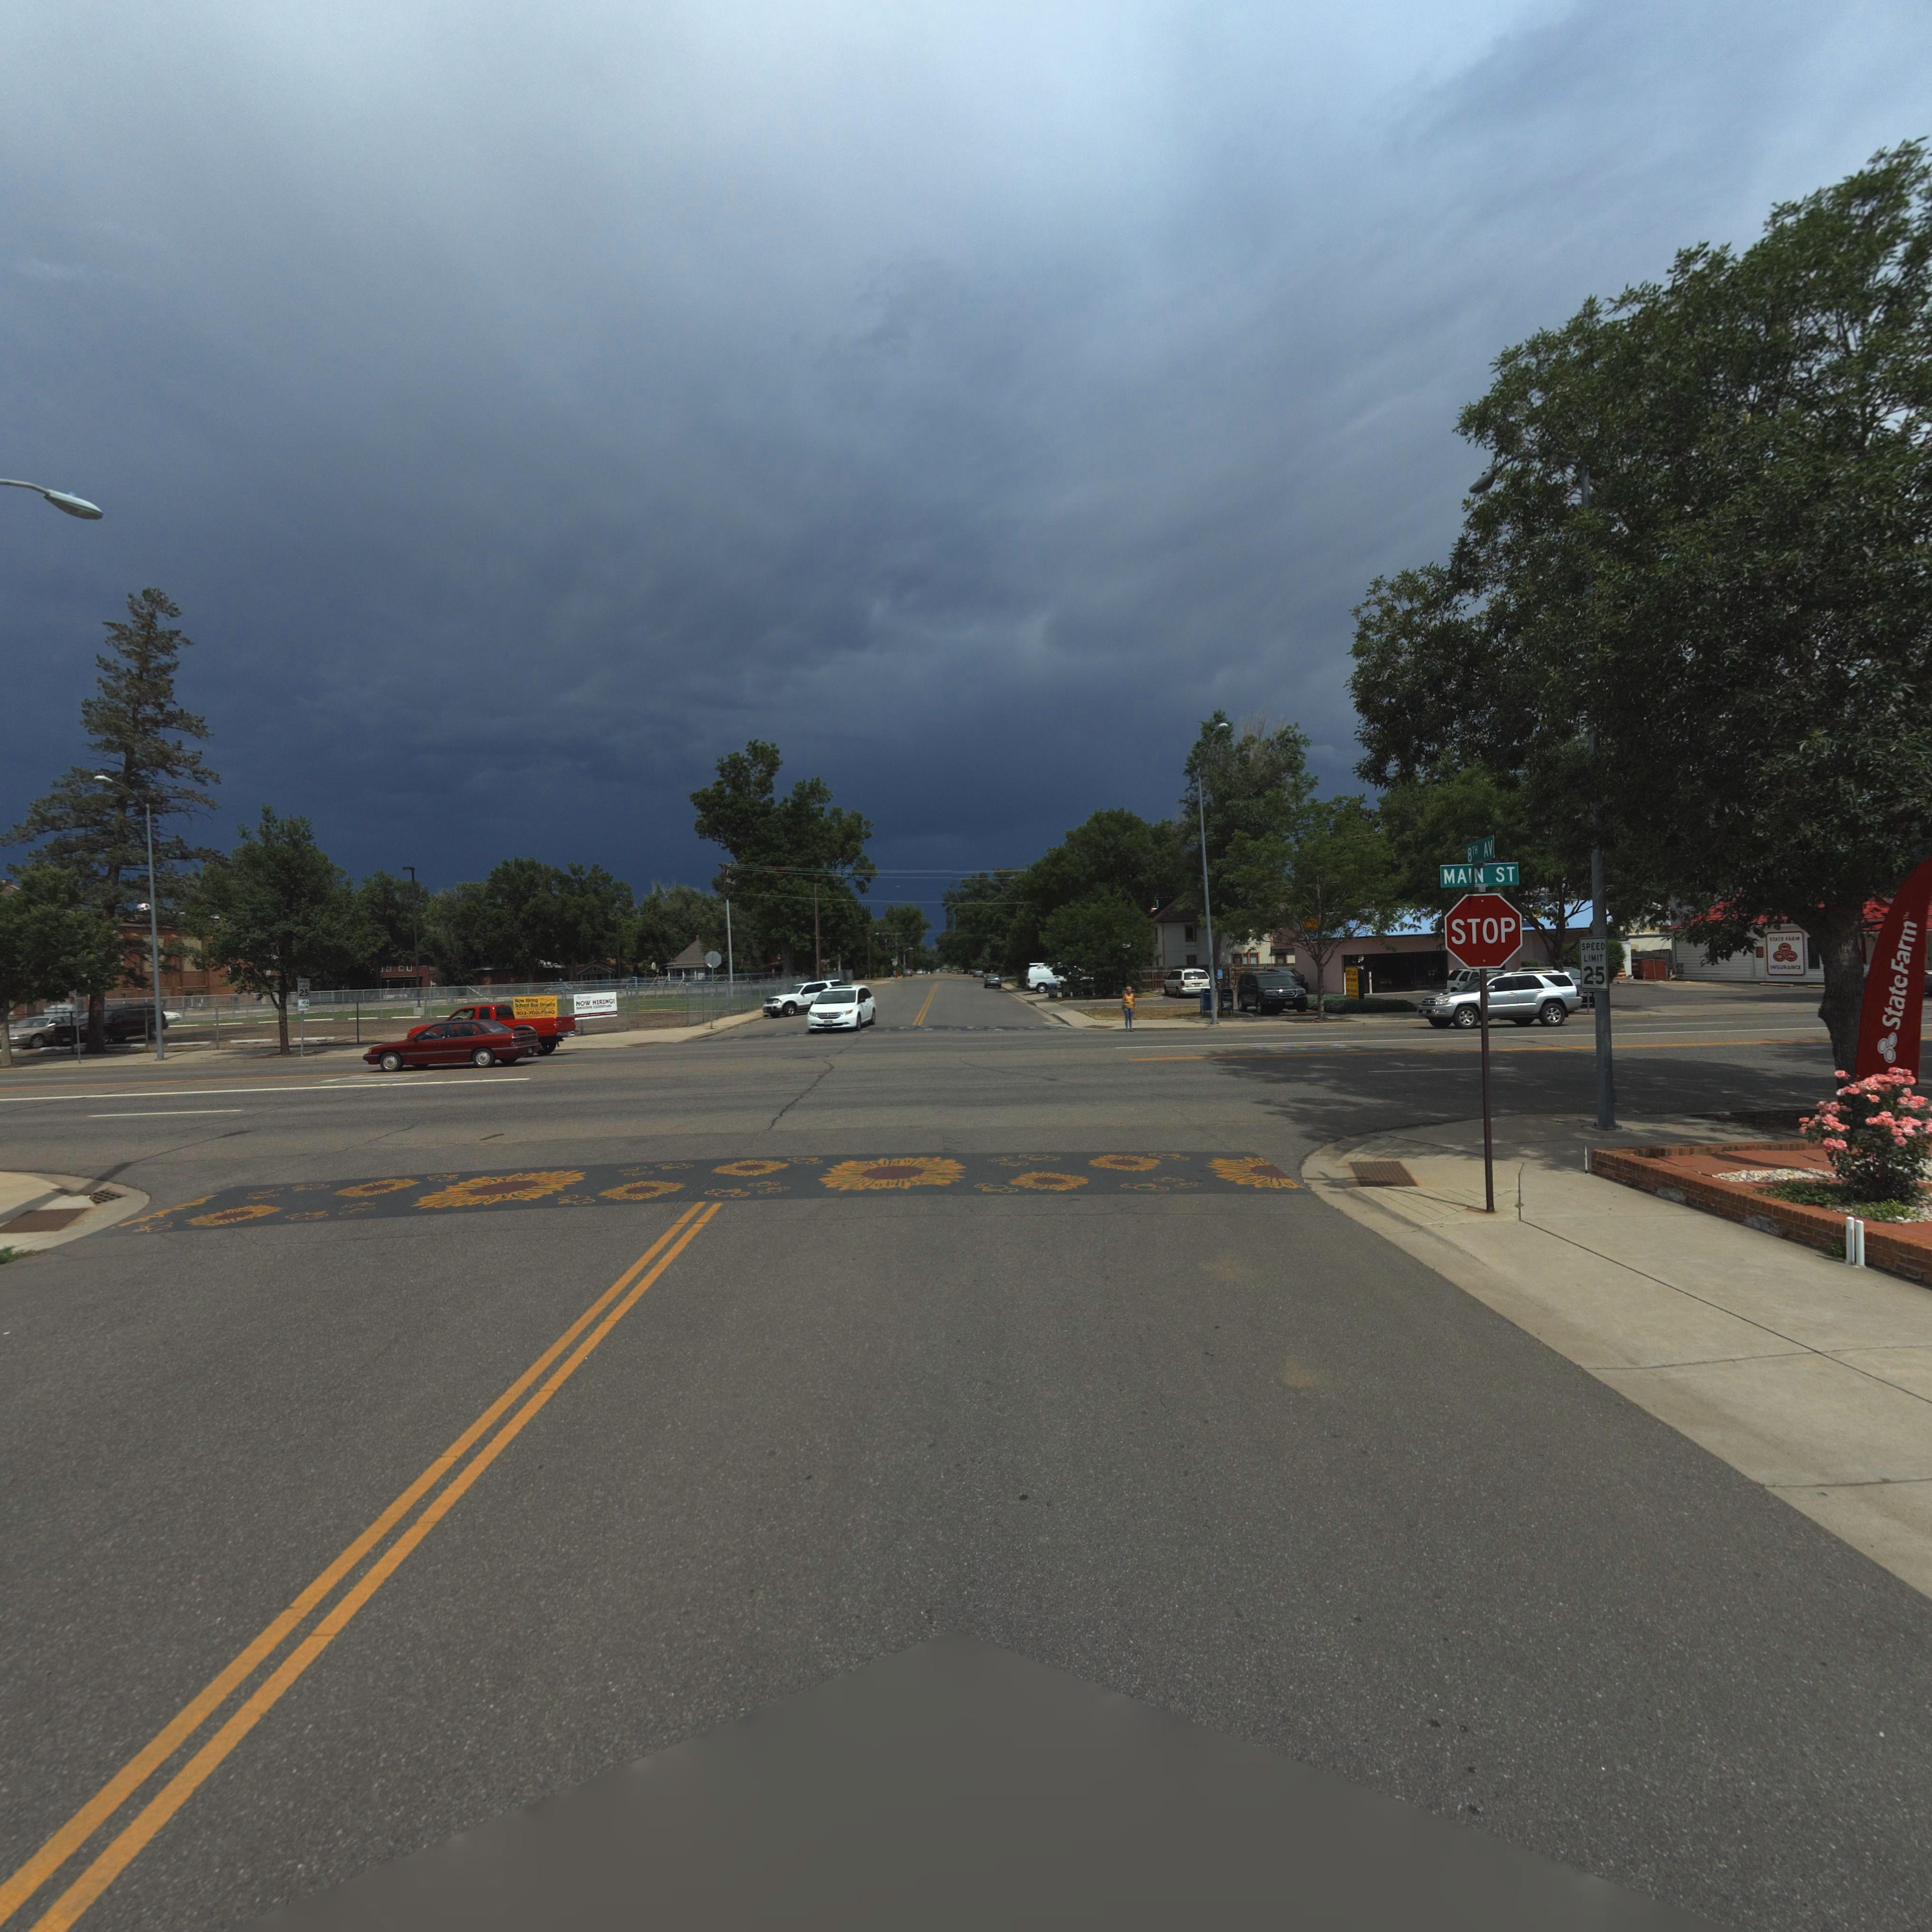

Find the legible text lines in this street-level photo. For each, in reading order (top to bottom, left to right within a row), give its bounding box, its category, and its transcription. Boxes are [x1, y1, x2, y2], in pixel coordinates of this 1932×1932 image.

[1467, 839, 1492, 862] StreetName: 8TH AV
[1443, 866, 1515, 884] StreetName: MAIN ST
[1769, 936, 1800, 942] BusinessName: STATE FARM
[1769, 965, 1801, 970] BusinessName: INSURANCE
[1881, 919, 1919, 1031] BusinessName: StateFarm